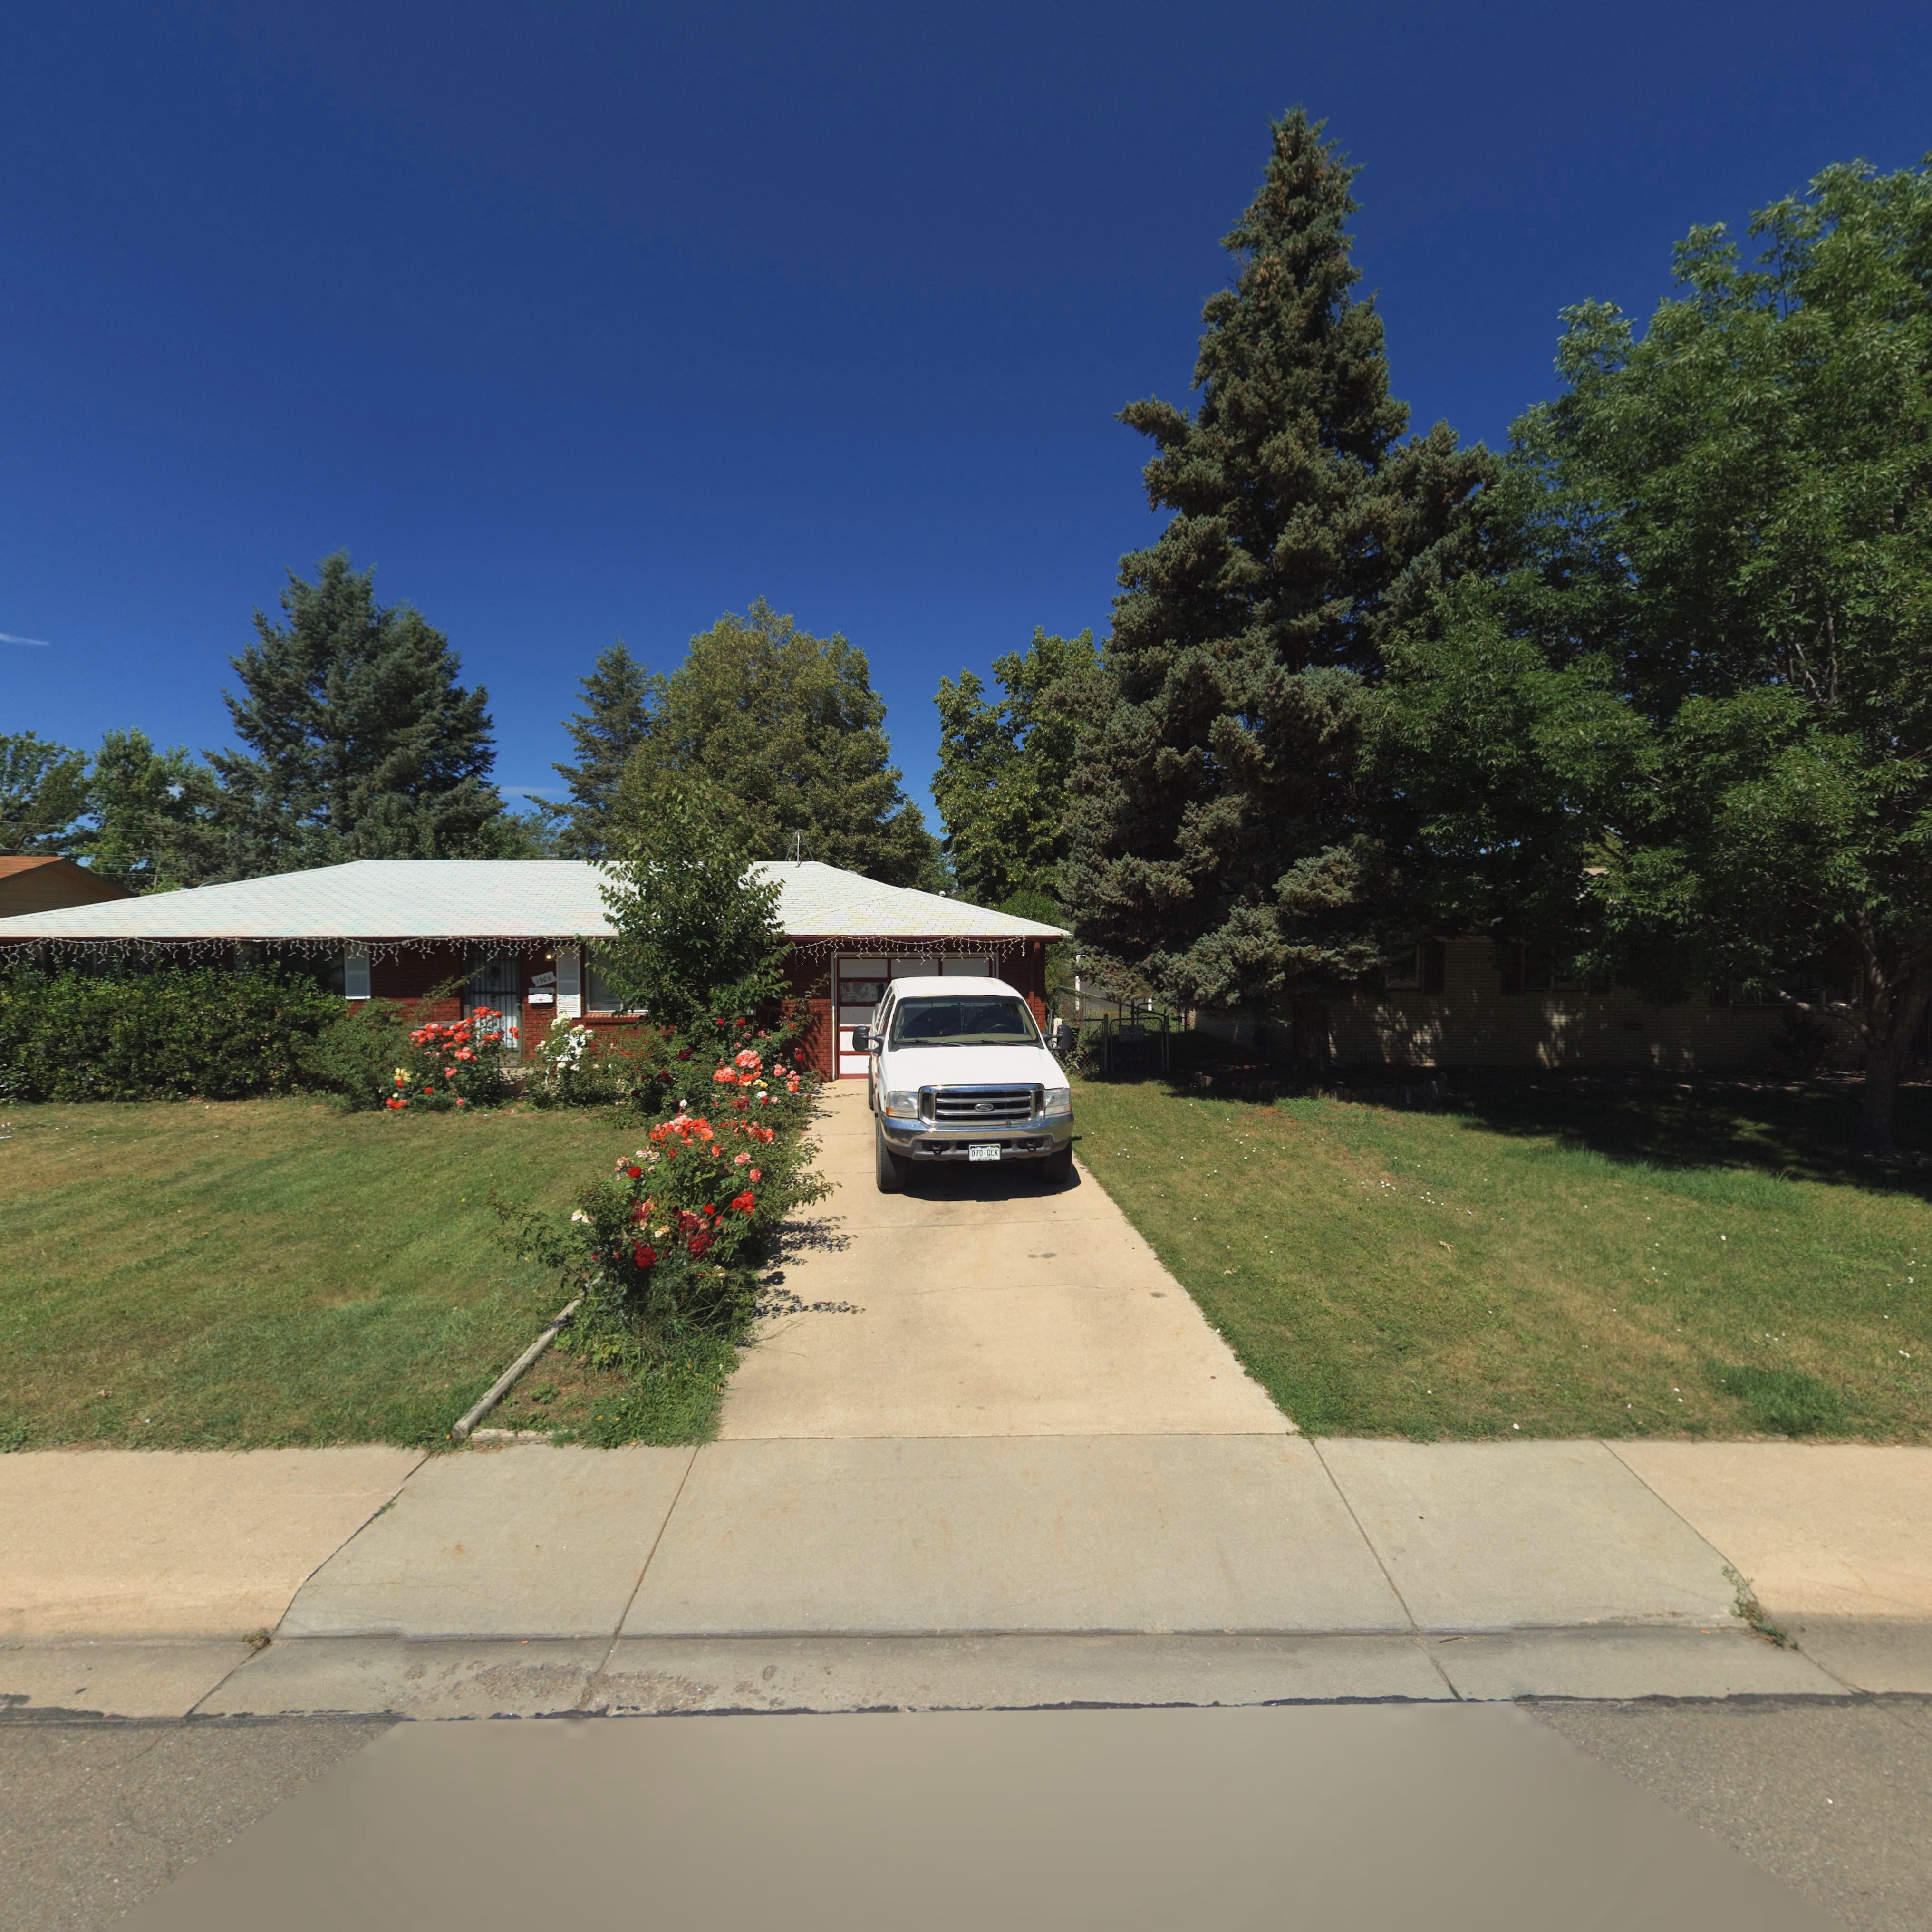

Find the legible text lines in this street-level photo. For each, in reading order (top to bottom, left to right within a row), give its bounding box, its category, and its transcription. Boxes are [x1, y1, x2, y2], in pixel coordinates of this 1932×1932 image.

[535, 974, 551, 984] StreetNumber: 1909